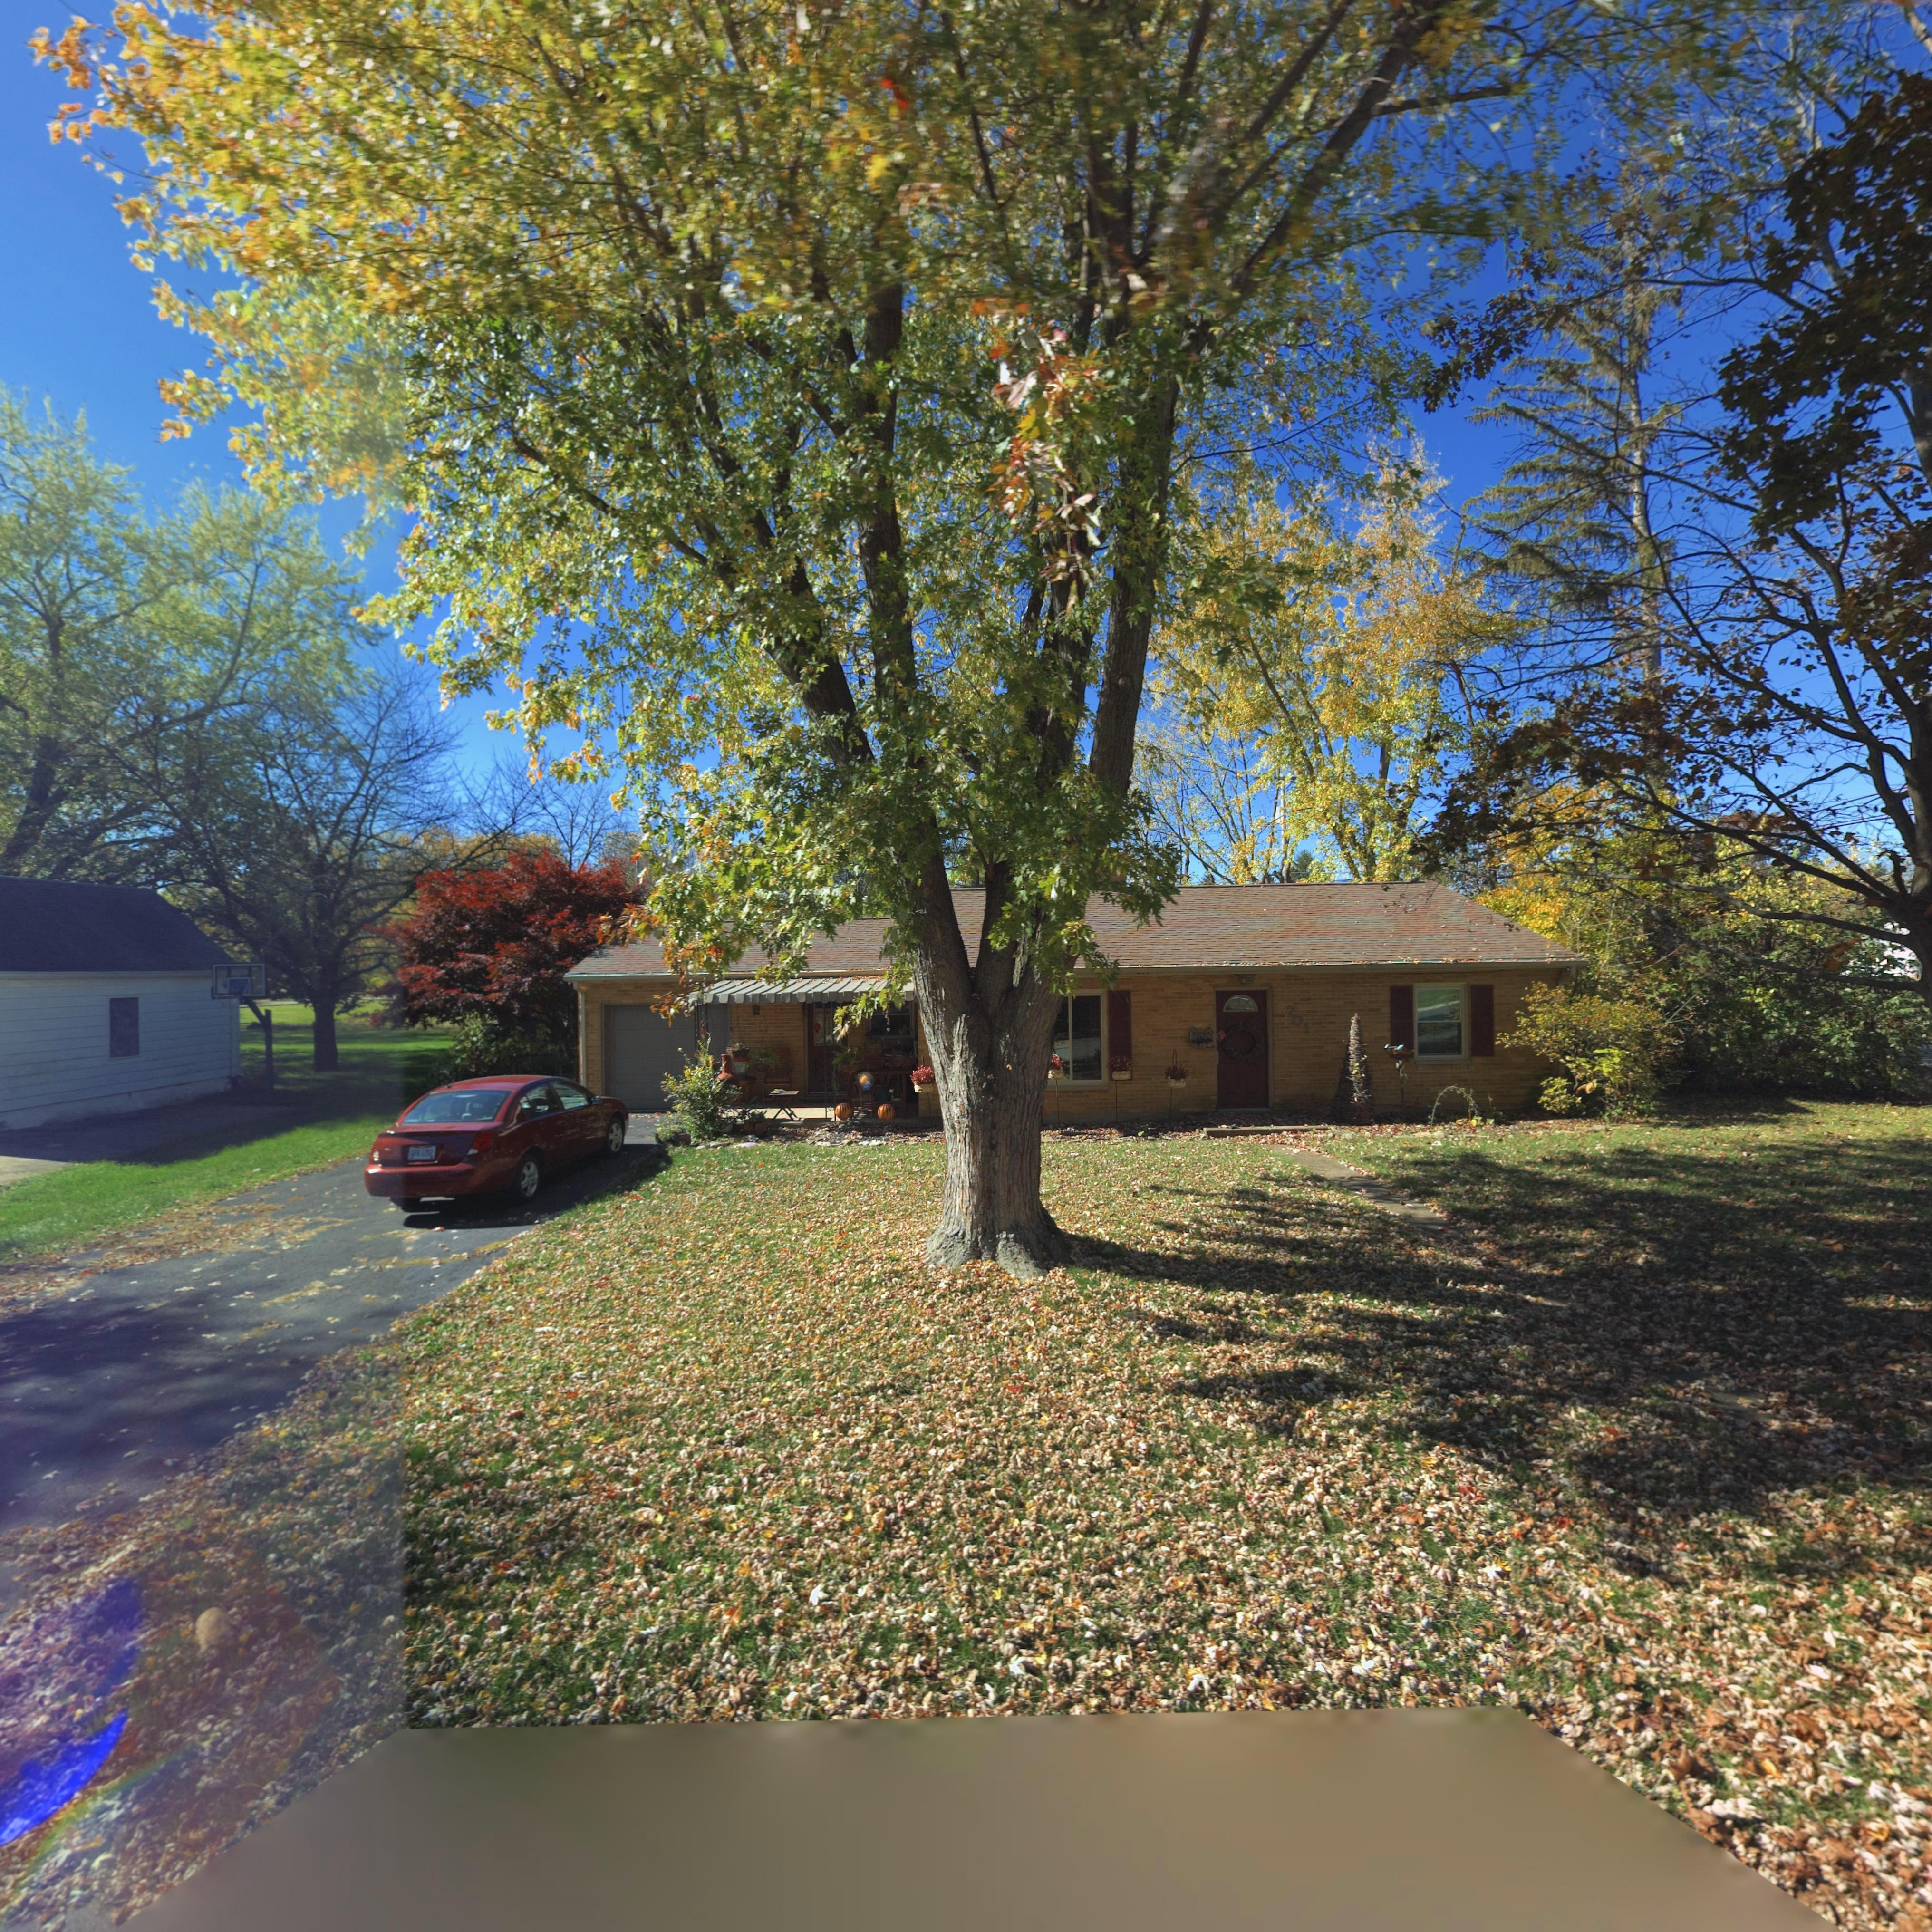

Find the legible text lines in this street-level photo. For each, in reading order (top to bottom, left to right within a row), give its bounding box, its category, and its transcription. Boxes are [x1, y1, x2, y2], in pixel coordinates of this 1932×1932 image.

[1286, 1005, 1311, 1034] StreetNumber: 701